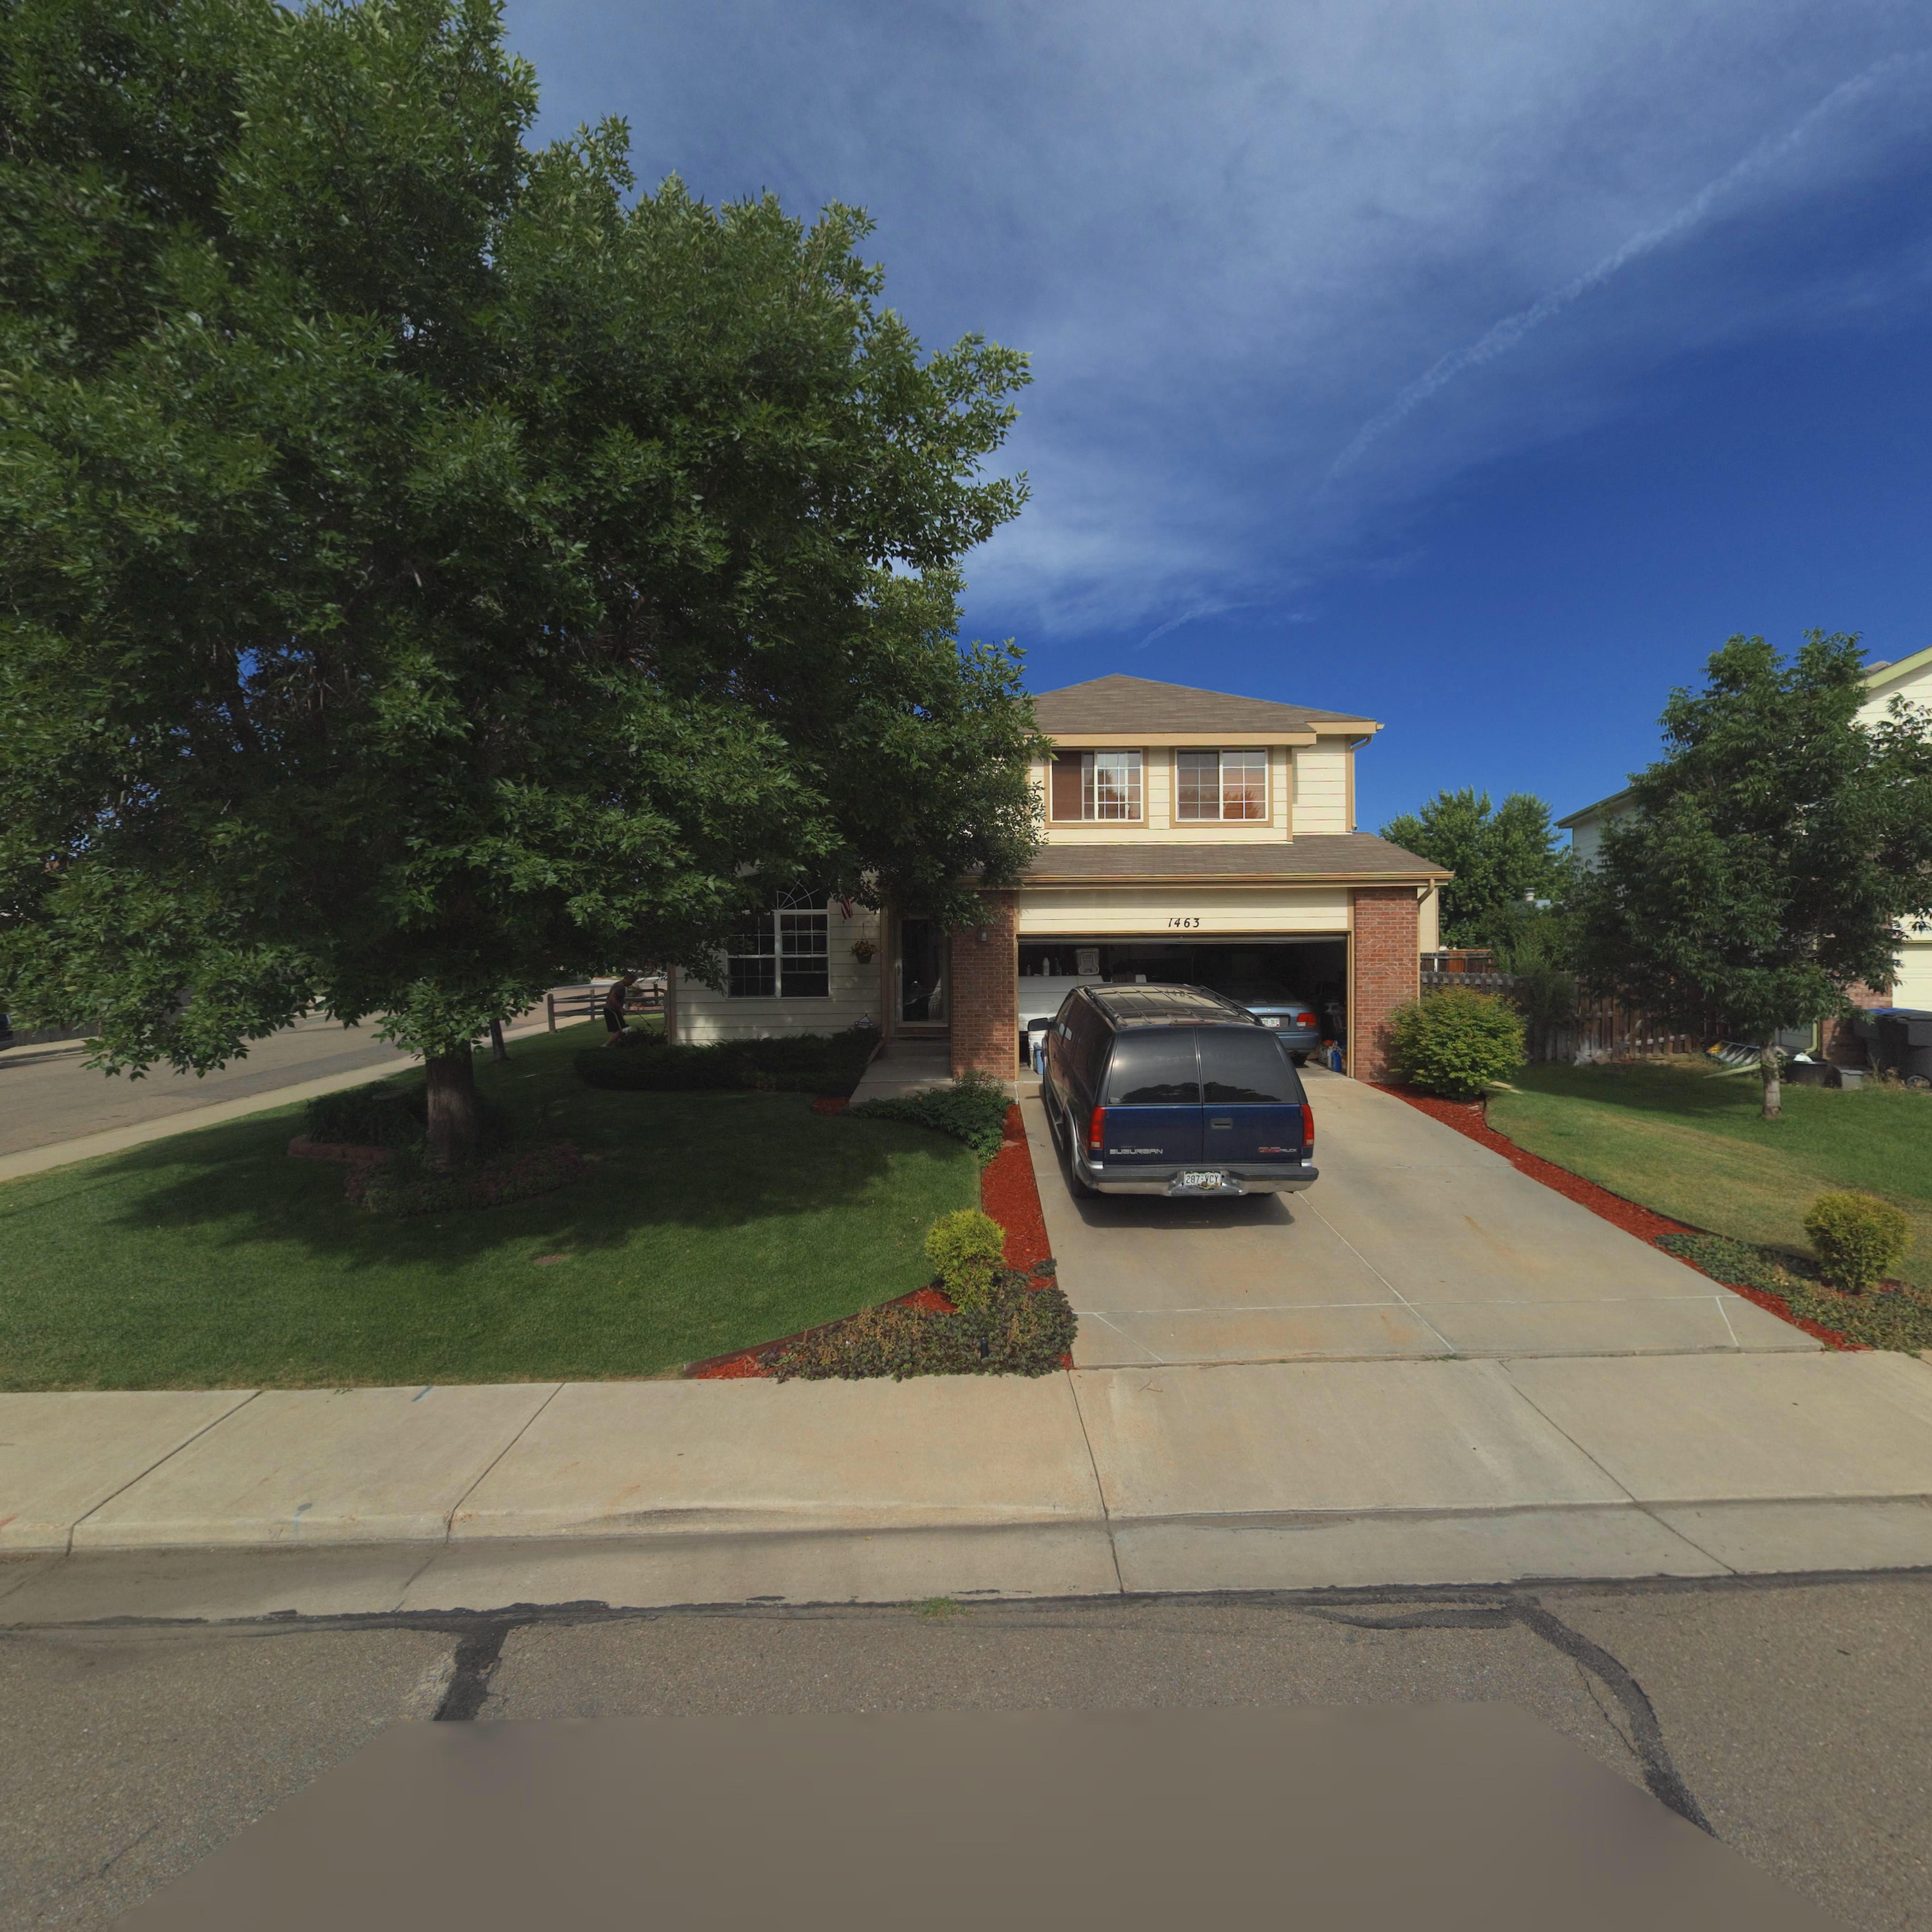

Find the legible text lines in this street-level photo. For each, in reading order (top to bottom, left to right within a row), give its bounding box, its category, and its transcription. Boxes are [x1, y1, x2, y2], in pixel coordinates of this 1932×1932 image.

[1168, 917, 1199, 927] StreetNumber: 1463